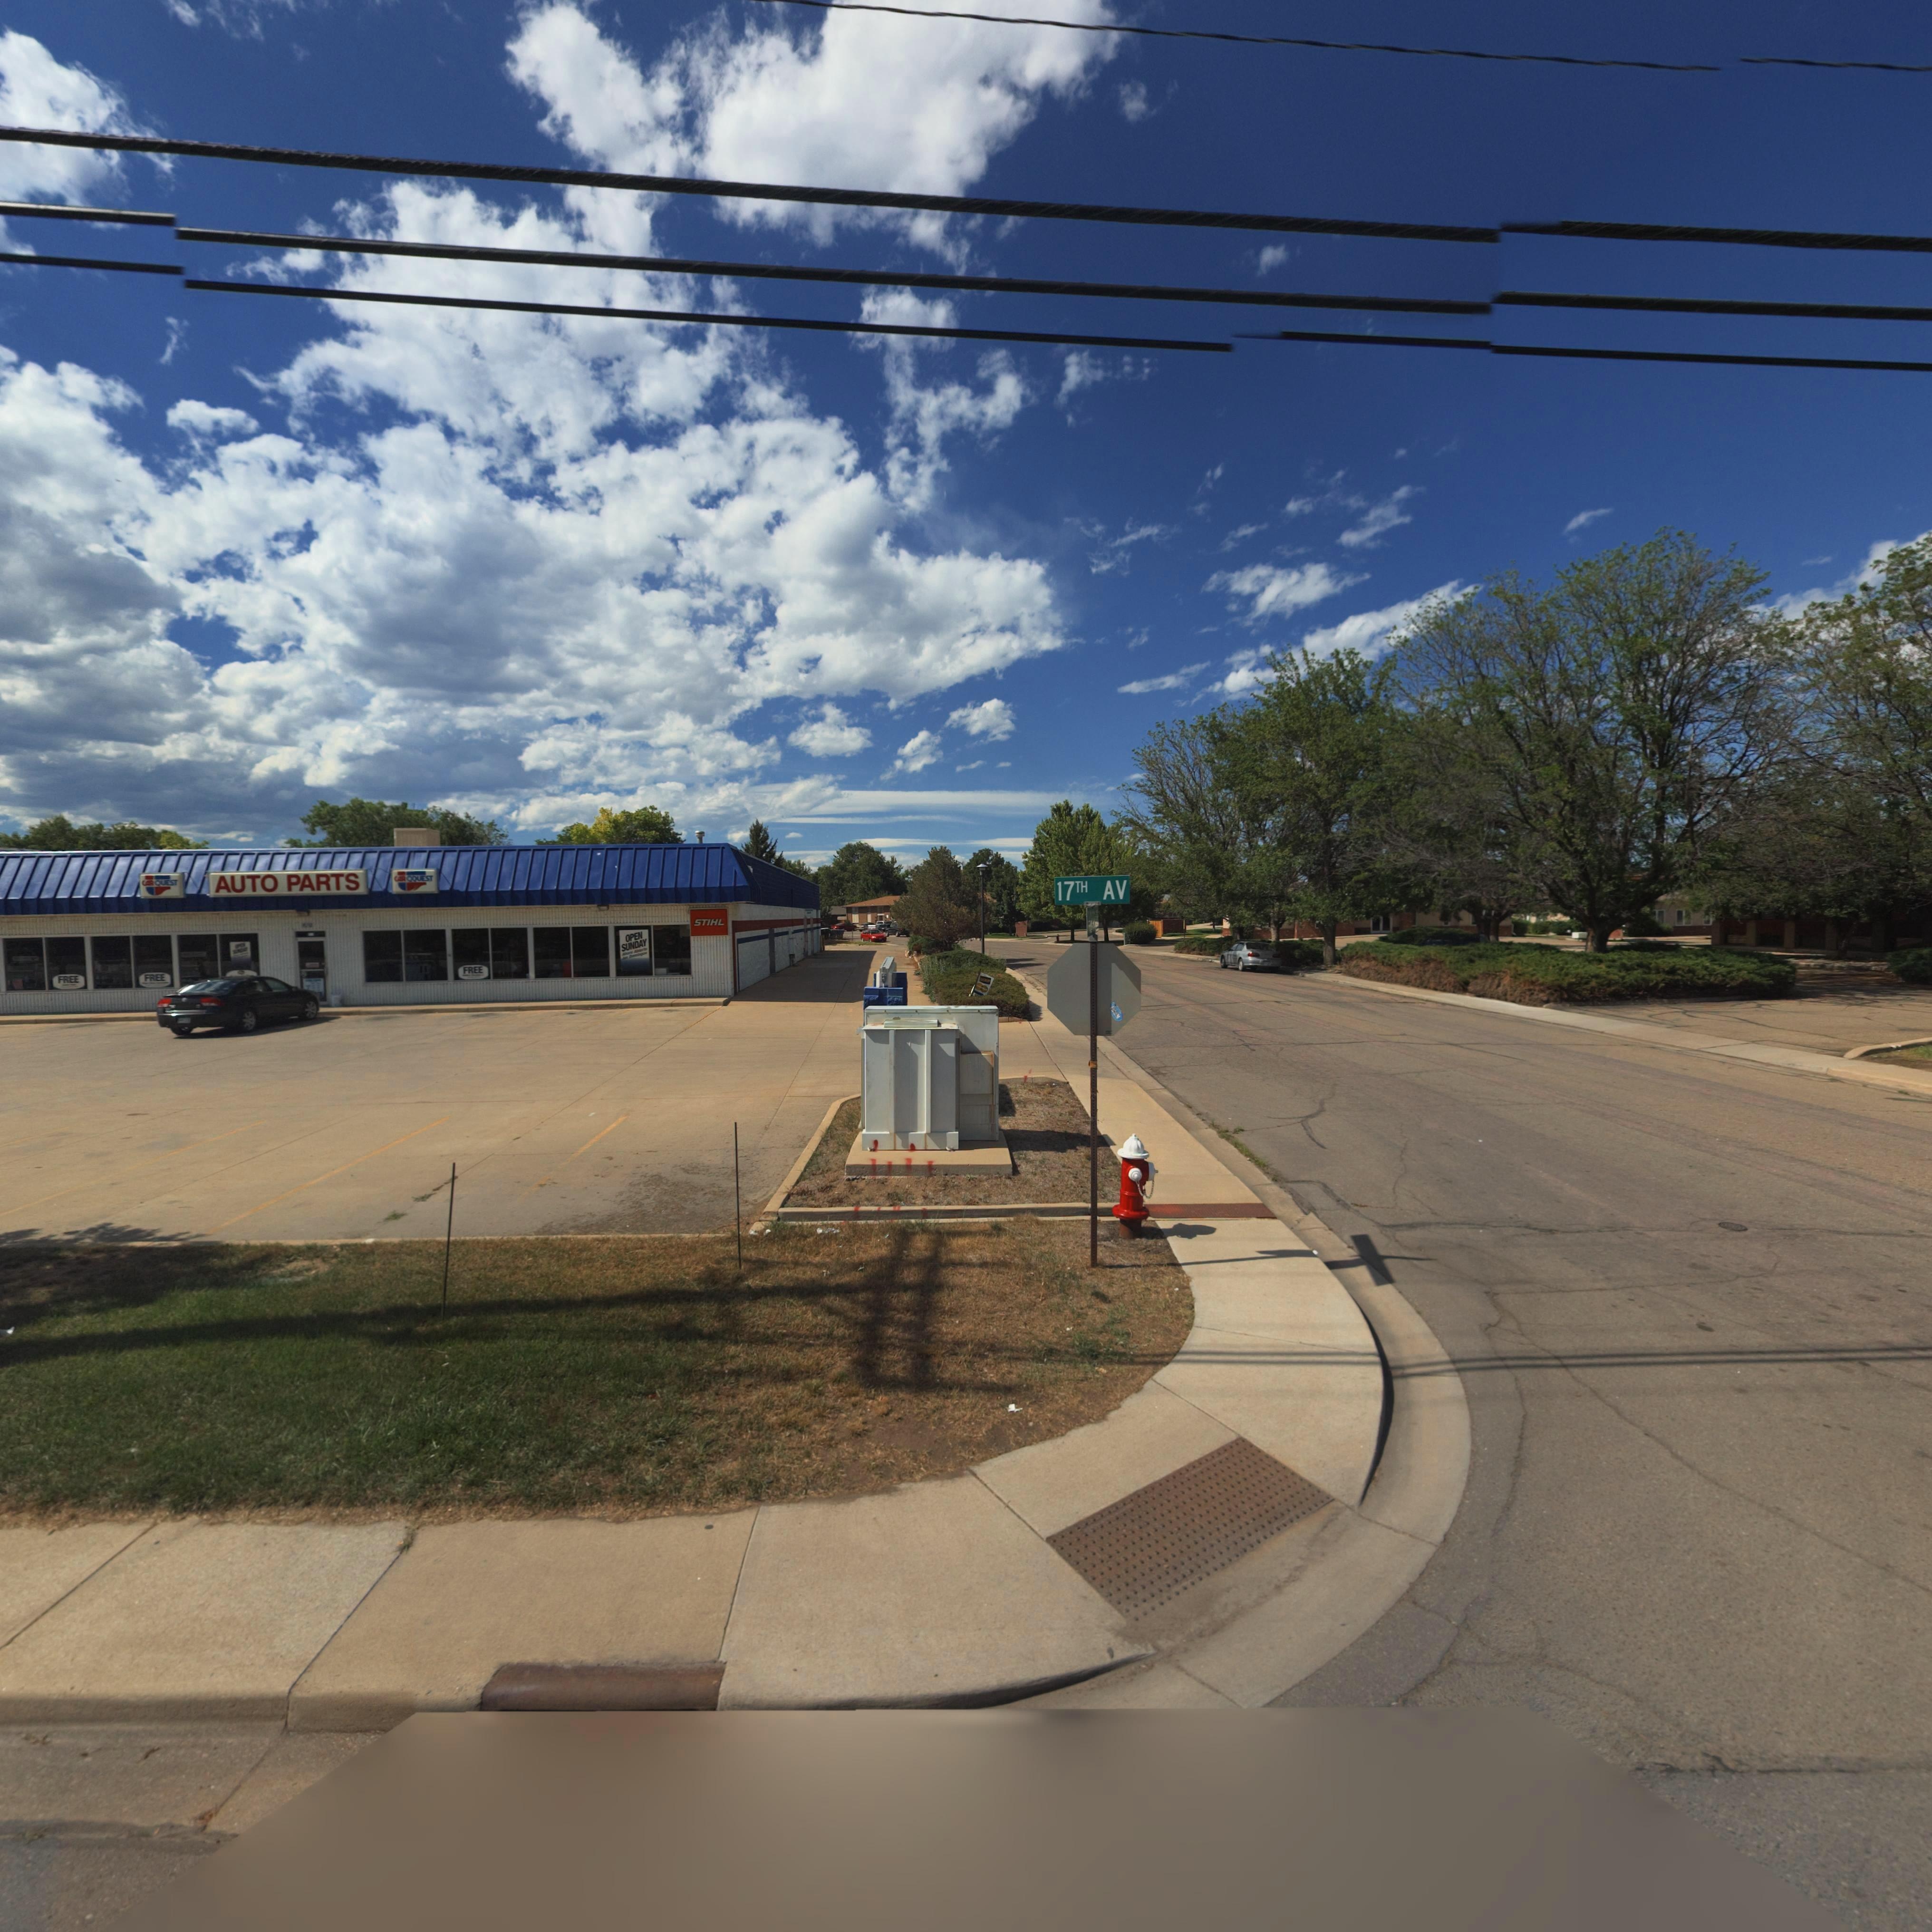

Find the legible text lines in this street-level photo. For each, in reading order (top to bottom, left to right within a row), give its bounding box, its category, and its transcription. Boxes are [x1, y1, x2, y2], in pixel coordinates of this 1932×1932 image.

[141, 879, 178, 887] BusinessName: CAR QUEST
[214, 872, 360, 893] BusinessName: AUTO PARTS
[394, 875, 434, 882] BusinessName: CAR QQUEST
[1055, 878, 1128, 901] StreetName: 17TH AV